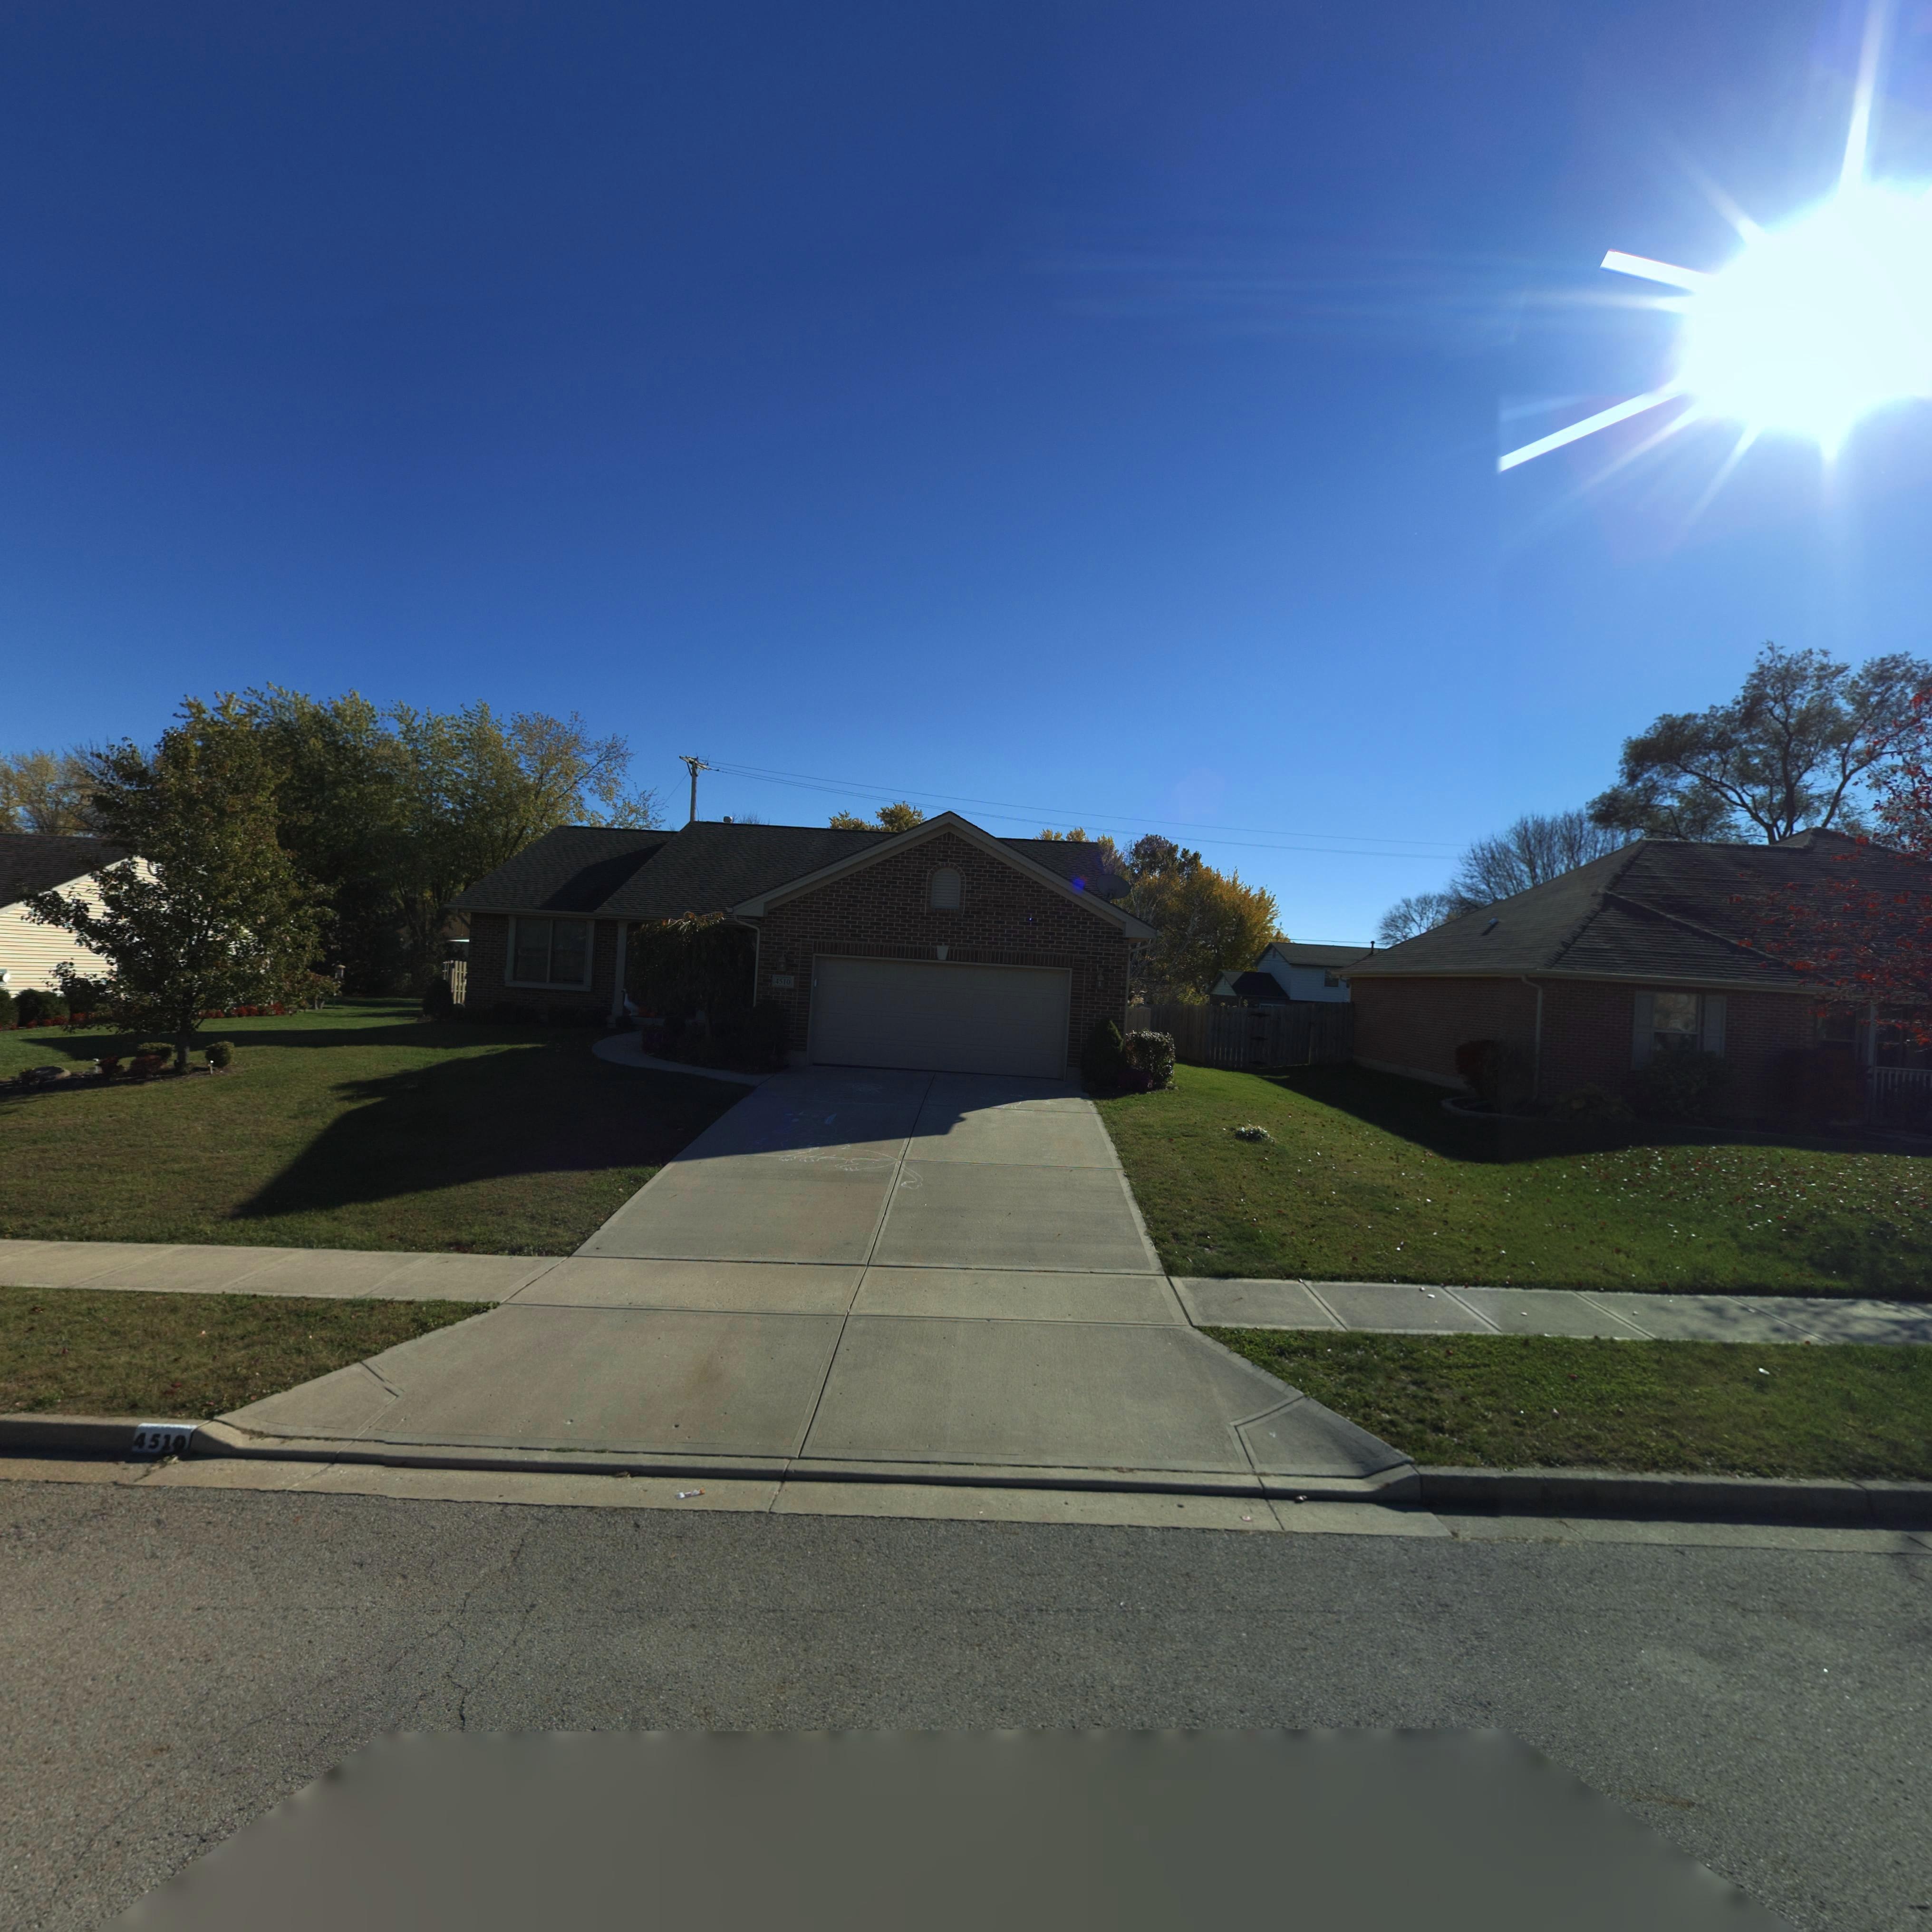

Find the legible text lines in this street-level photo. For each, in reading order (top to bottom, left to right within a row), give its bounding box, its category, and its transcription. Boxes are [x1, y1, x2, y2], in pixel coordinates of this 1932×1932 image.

[773, 977, 792, 986] StreetNumber: 4510
[130, 1430, 189, 1453] StreetNumber: 4510